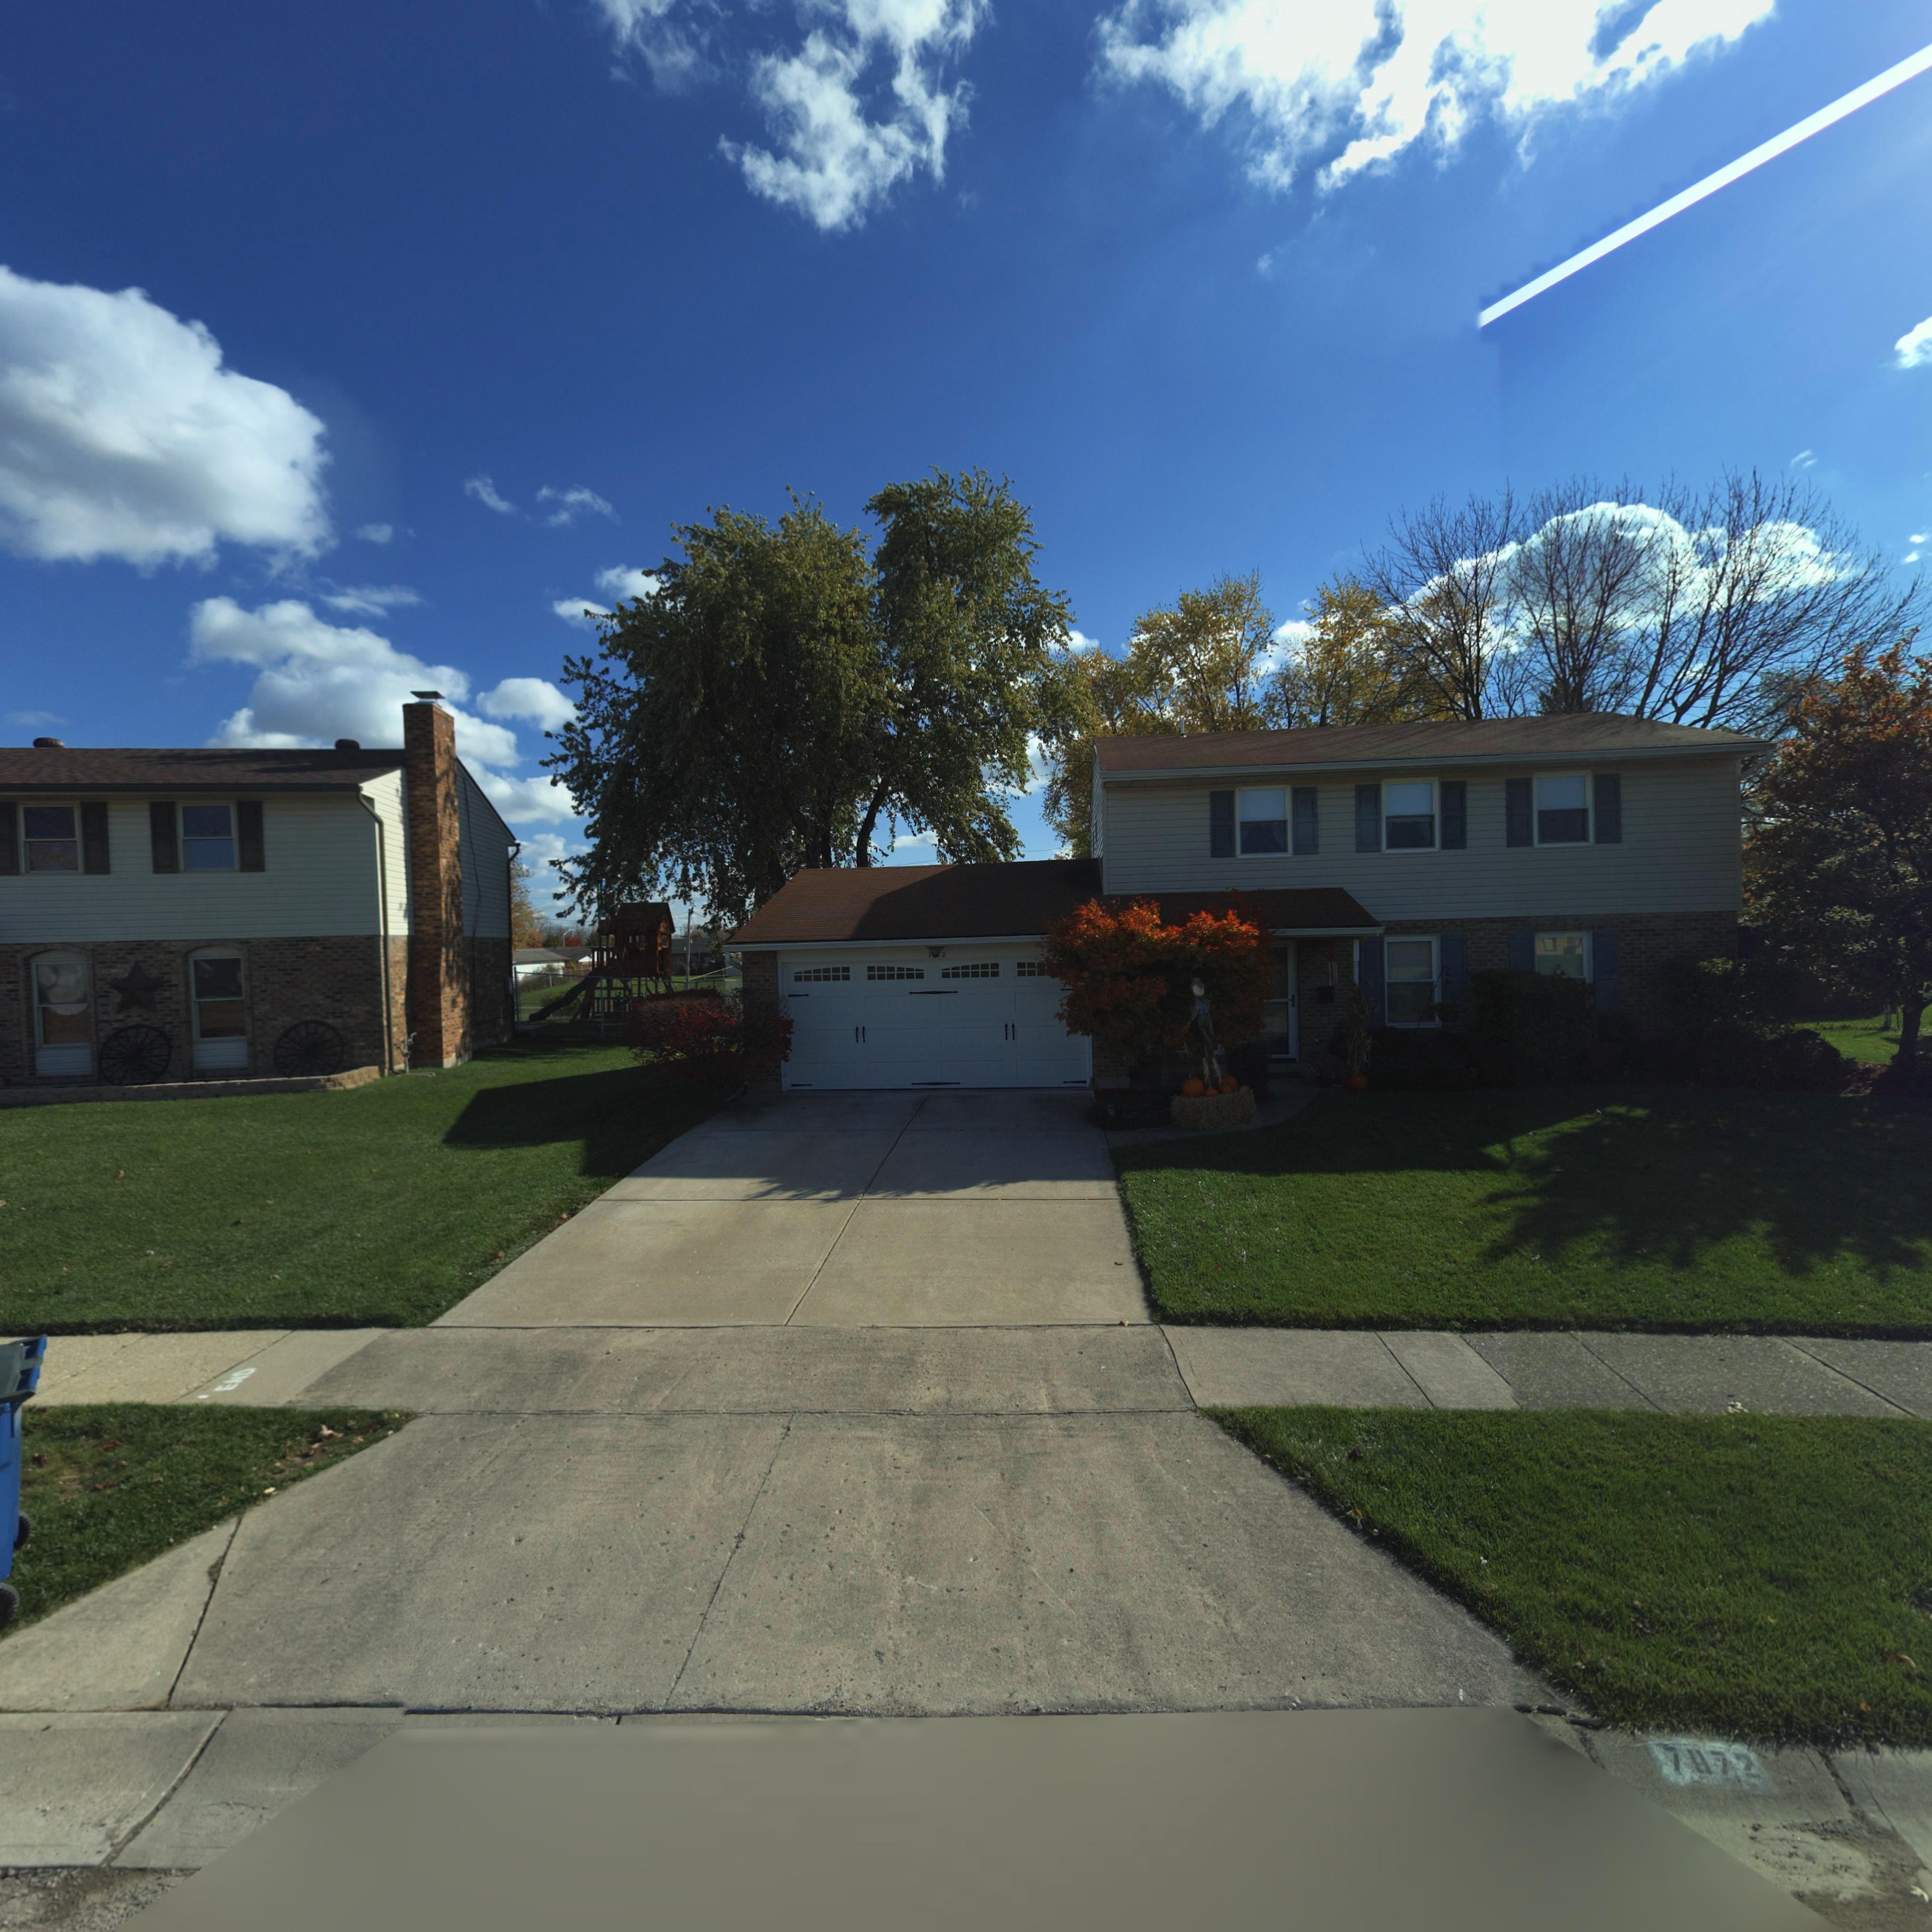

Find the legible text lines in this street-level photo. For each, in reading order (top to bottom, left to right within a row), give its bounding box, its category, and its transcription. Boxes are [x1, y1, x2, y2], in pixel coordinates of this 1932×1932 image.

[941, 951, 947, 959] StreetNumber: 2
[1658, 1743, 1765, 1781] StreetNumber: 7072